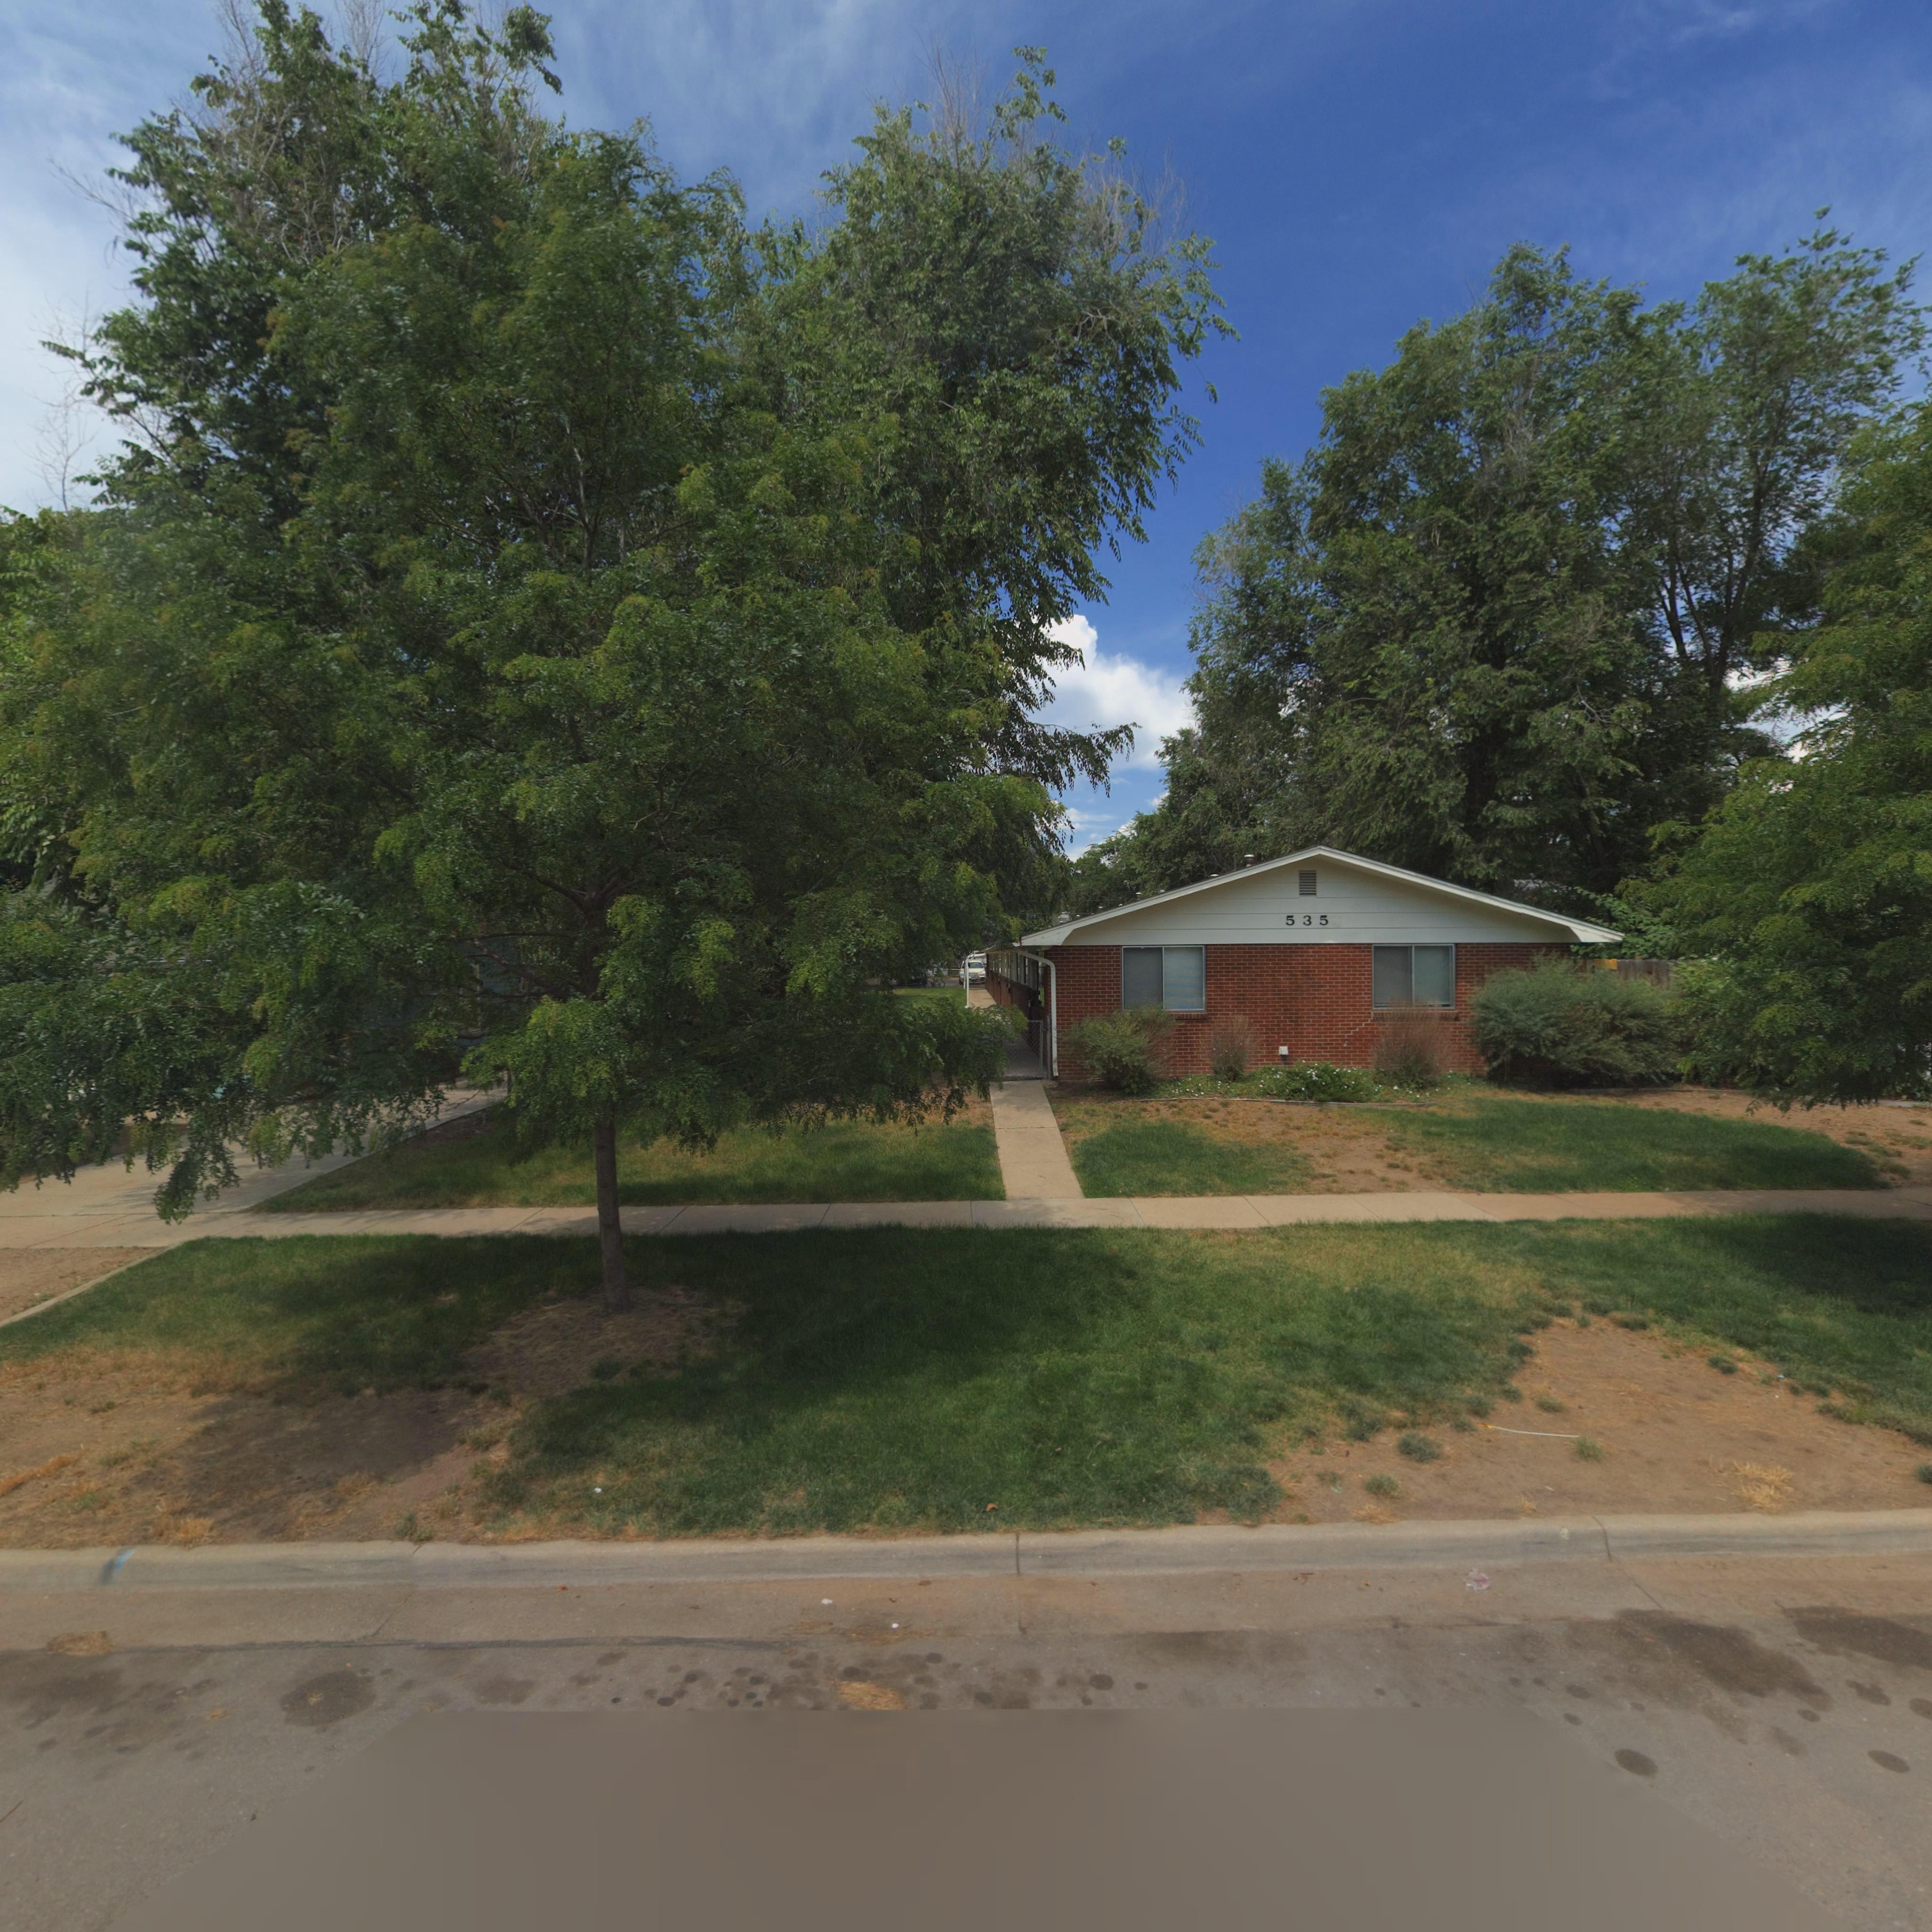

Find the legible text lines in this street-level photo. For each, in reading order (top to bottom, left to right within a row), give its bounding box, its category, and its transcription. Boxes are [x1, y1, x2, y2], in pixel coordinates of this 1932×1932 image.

[1285, 915, 1328, 926] StreetNumber: 535